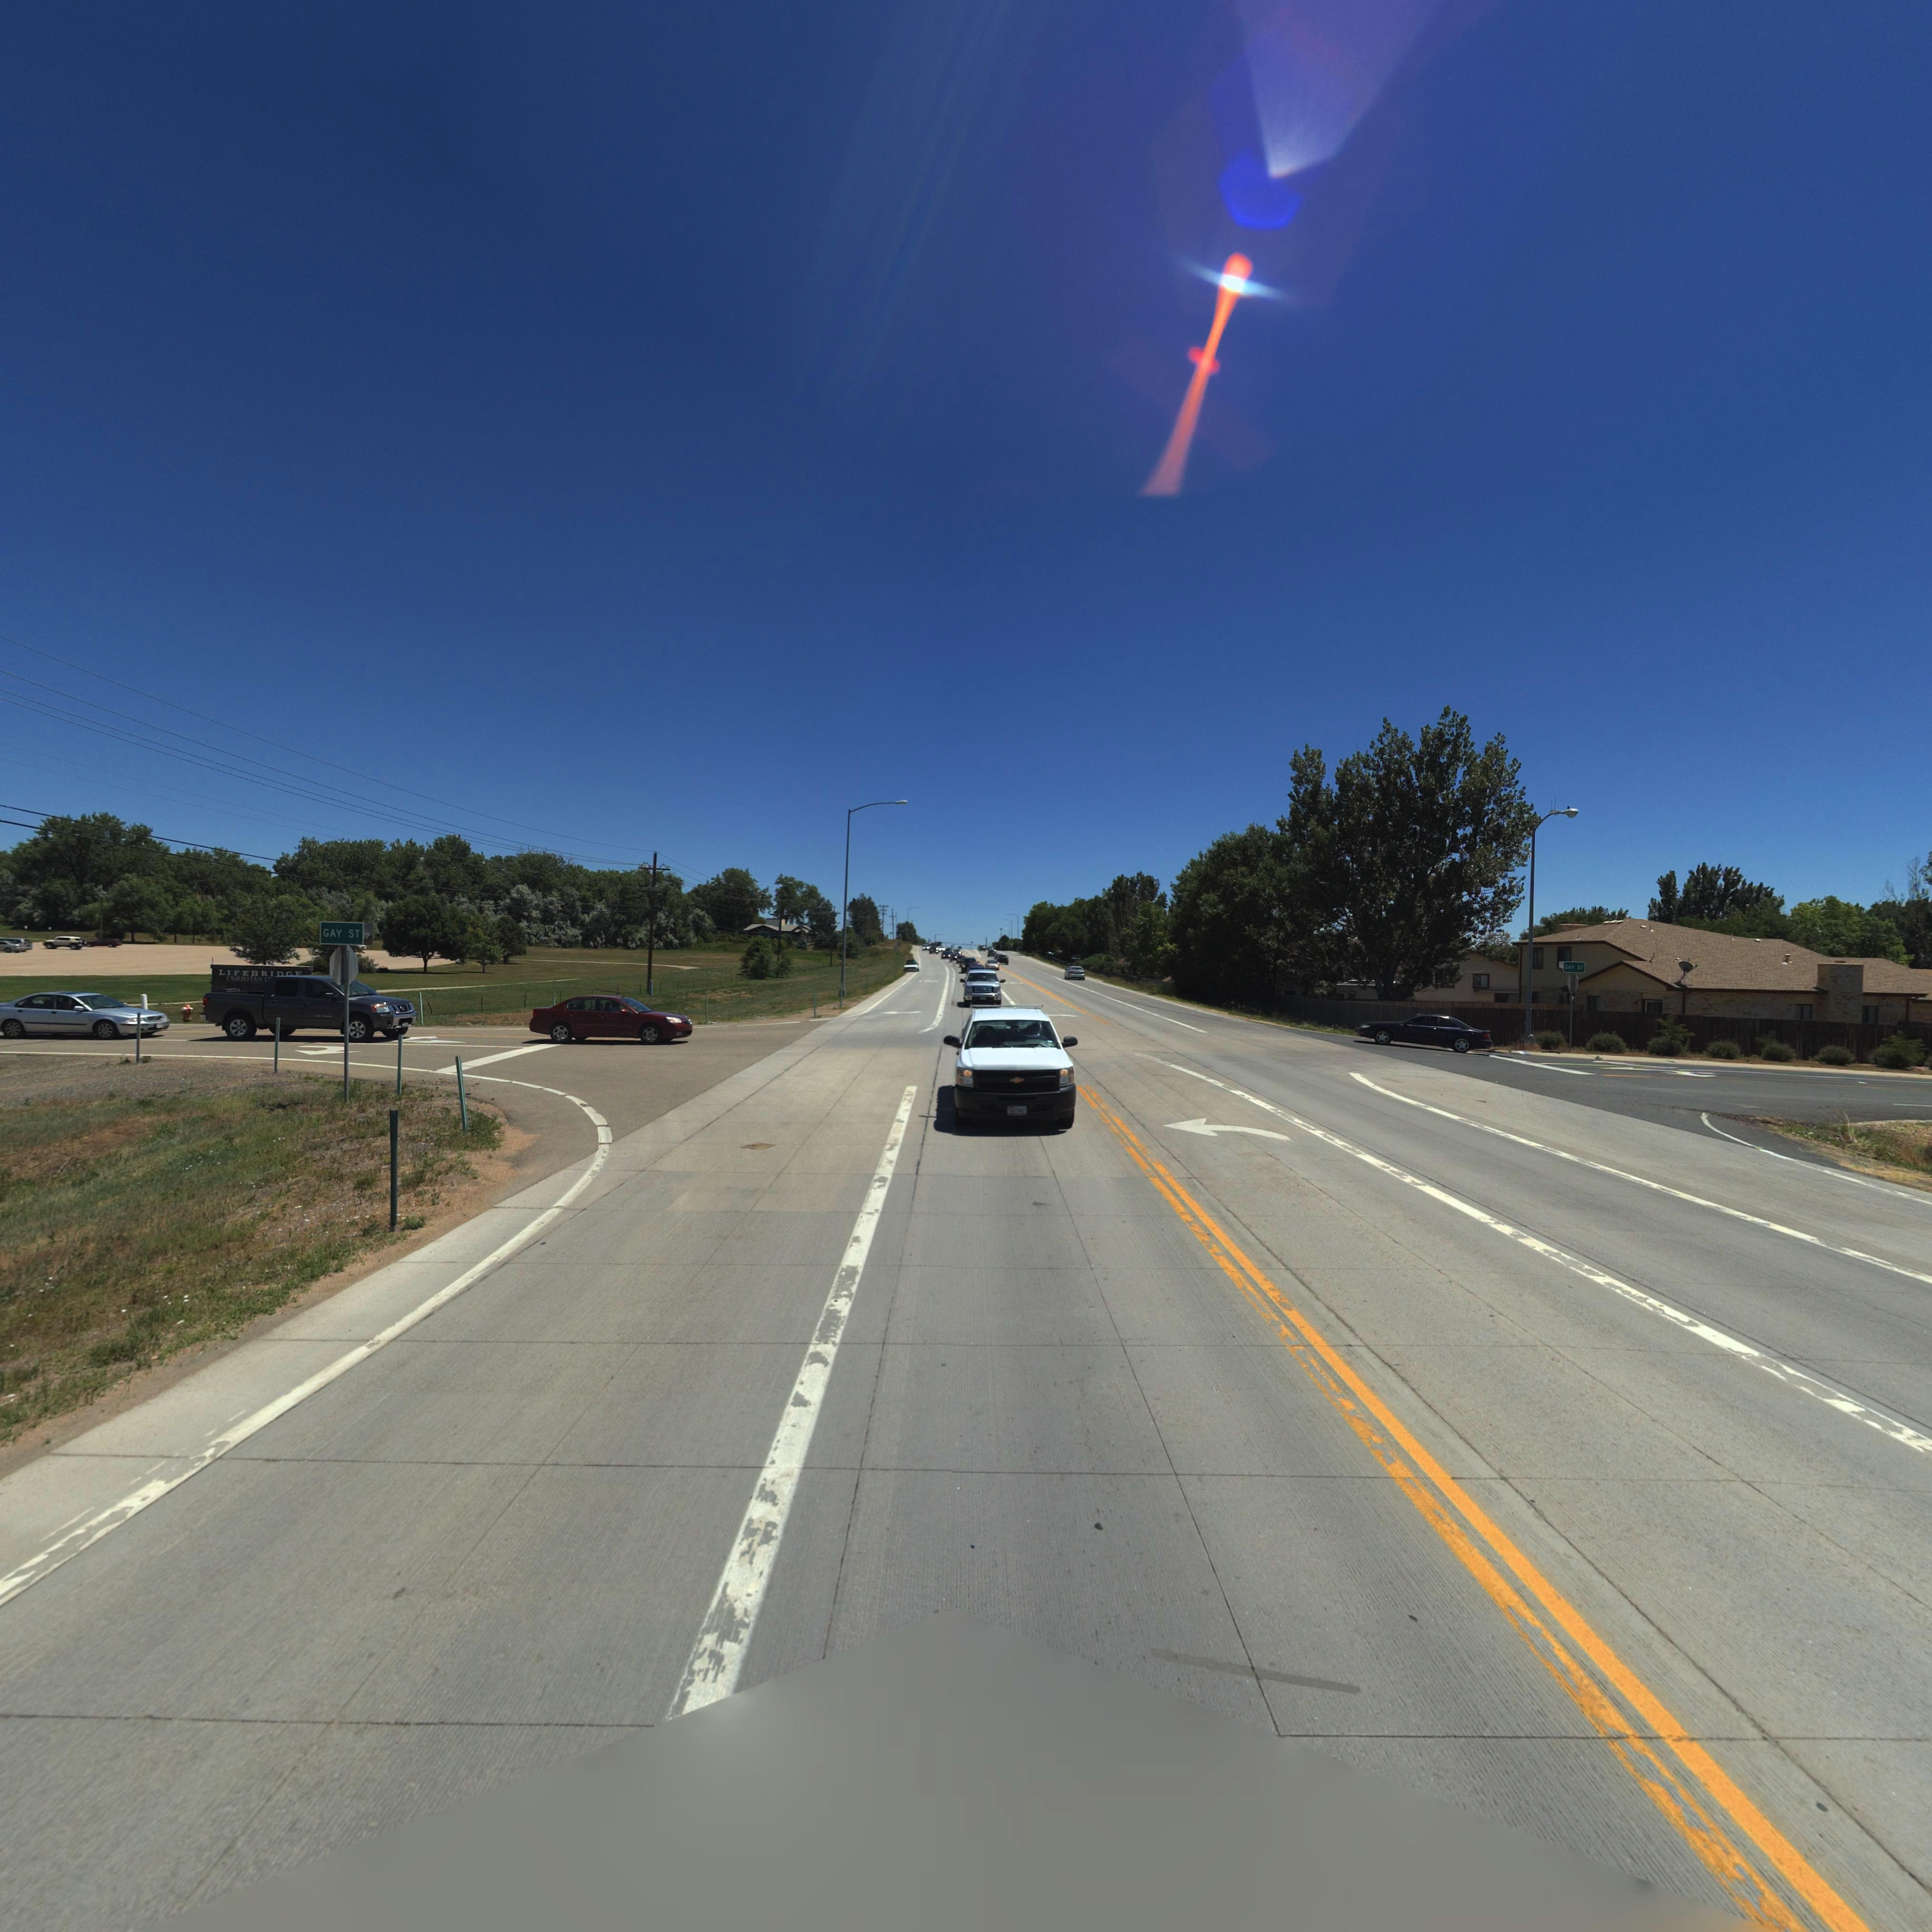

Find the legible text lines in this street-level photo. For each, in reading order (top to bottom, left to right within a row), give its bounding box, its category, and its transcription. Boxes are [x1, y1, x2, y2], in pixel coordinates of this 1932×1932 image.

[323, 928, 360, 938] StreetName: GAY ST
[1565, 964, 1584, 970] StreetName: GAY ST
[218, 969, 302, 976] BusinessName: LIFEBRI***
[226, 976, 269, 982] BusinessName: CHRISTIAN C